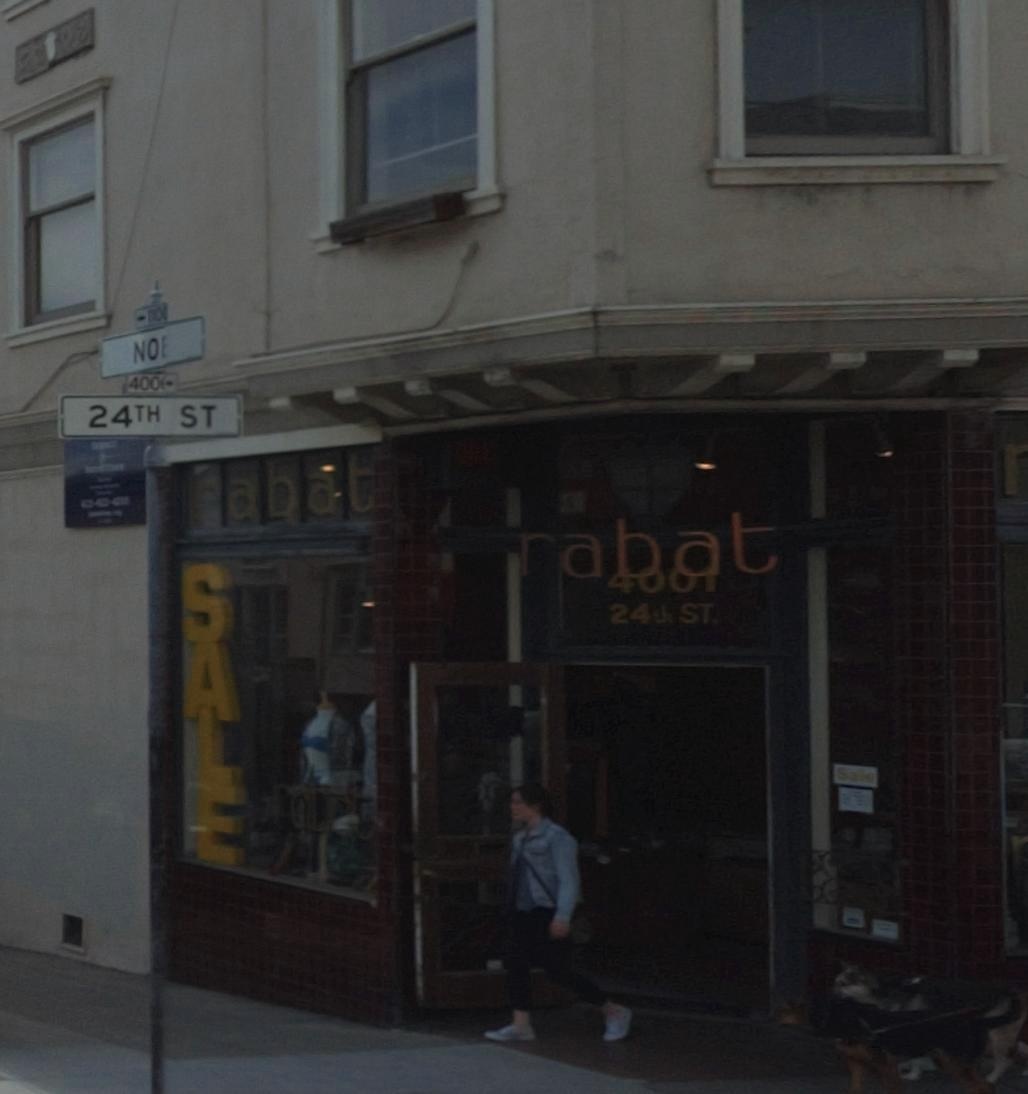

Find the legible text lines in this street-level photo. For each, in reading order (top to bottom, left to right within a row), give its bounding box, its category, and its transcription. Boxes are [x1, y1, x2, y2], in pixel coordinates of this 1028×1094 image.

[131, 334, 169, 366] StreetName: NOE
[128, 373, 162, 393] StreetNumberRange: 400
[89, 403, 219, 429] StreetName: 24TH ST
[184, 452, 375, 529] BusinessName: rabat
[519, 510, 781, 579] BusinessName: rabat
[607, 568, 721, 596] StreetNumber: 4001
[607, 601, 718, 626] StreetName: 24th ST.
[179, 562, 241, 869] None: SALE
[835, 766, 876, 786] None: Sale